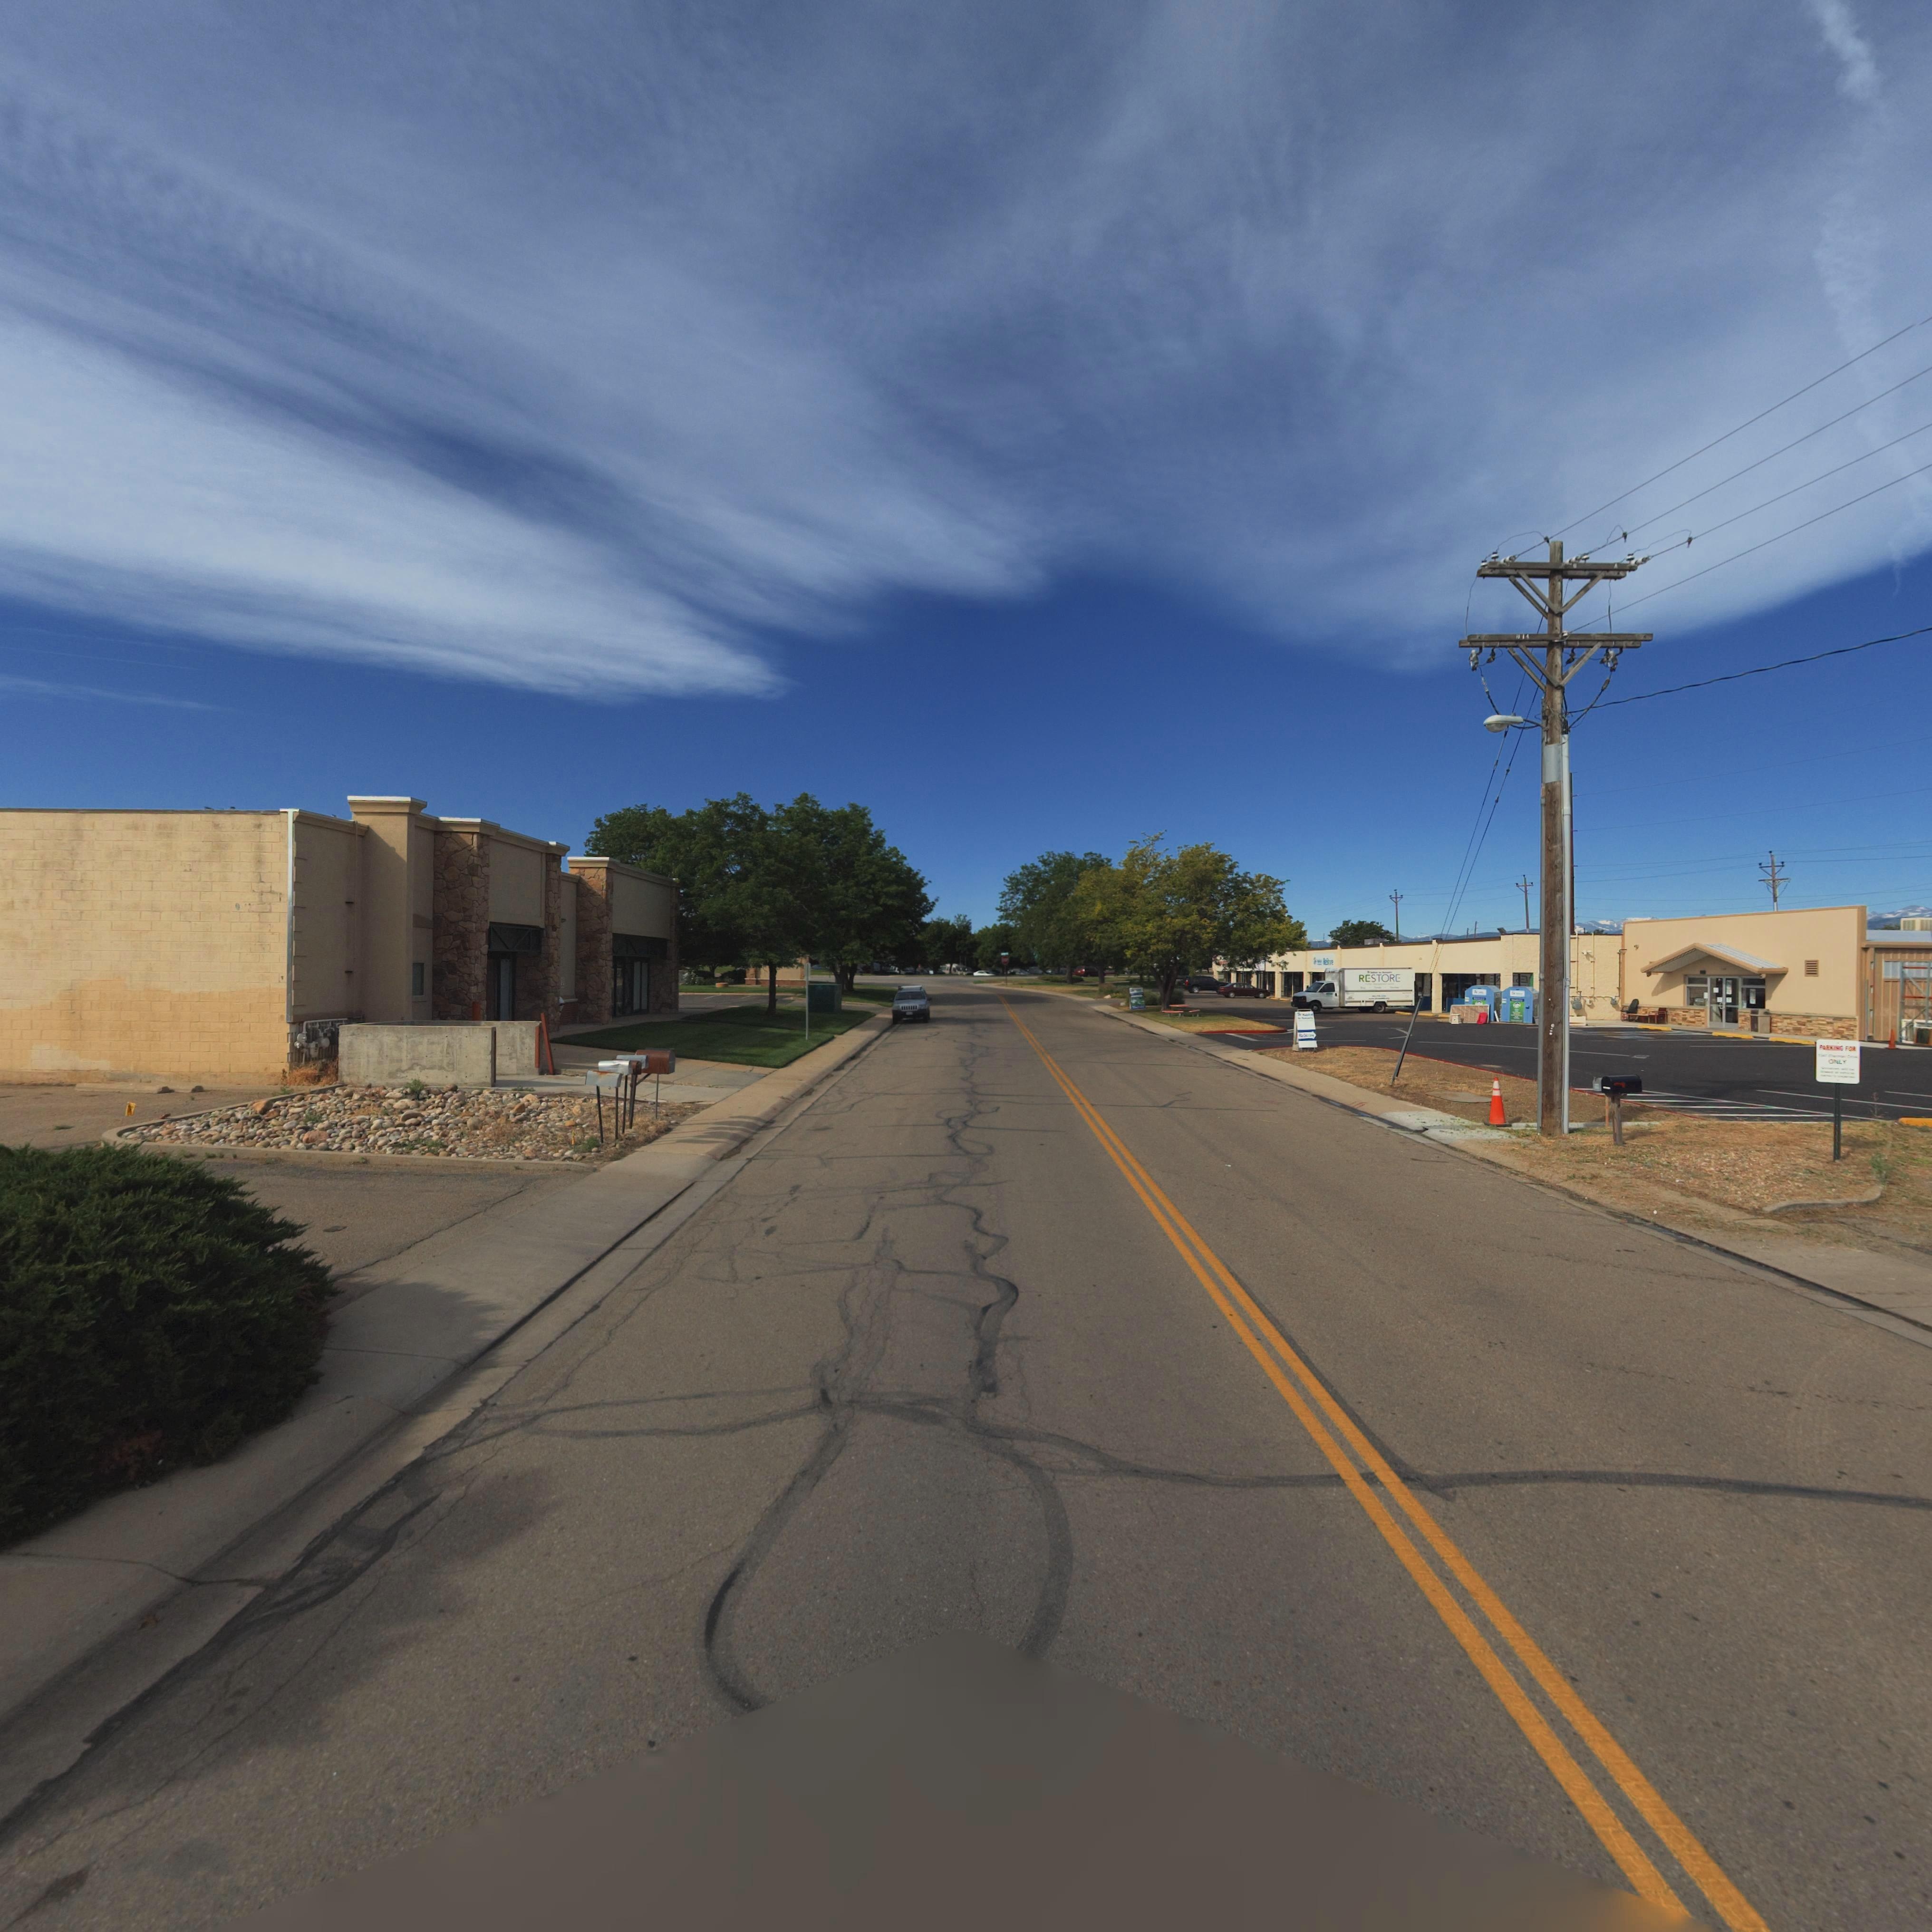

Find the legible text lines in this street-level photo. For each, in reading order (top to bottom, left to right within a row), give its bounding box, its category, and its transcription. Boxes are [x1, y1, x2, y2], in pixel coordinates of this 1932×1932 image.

[1323, 957, 1333, 966] BusinessName: ReS**re
[1298, 1033, 1314, 1037] BusinessName: ReS****